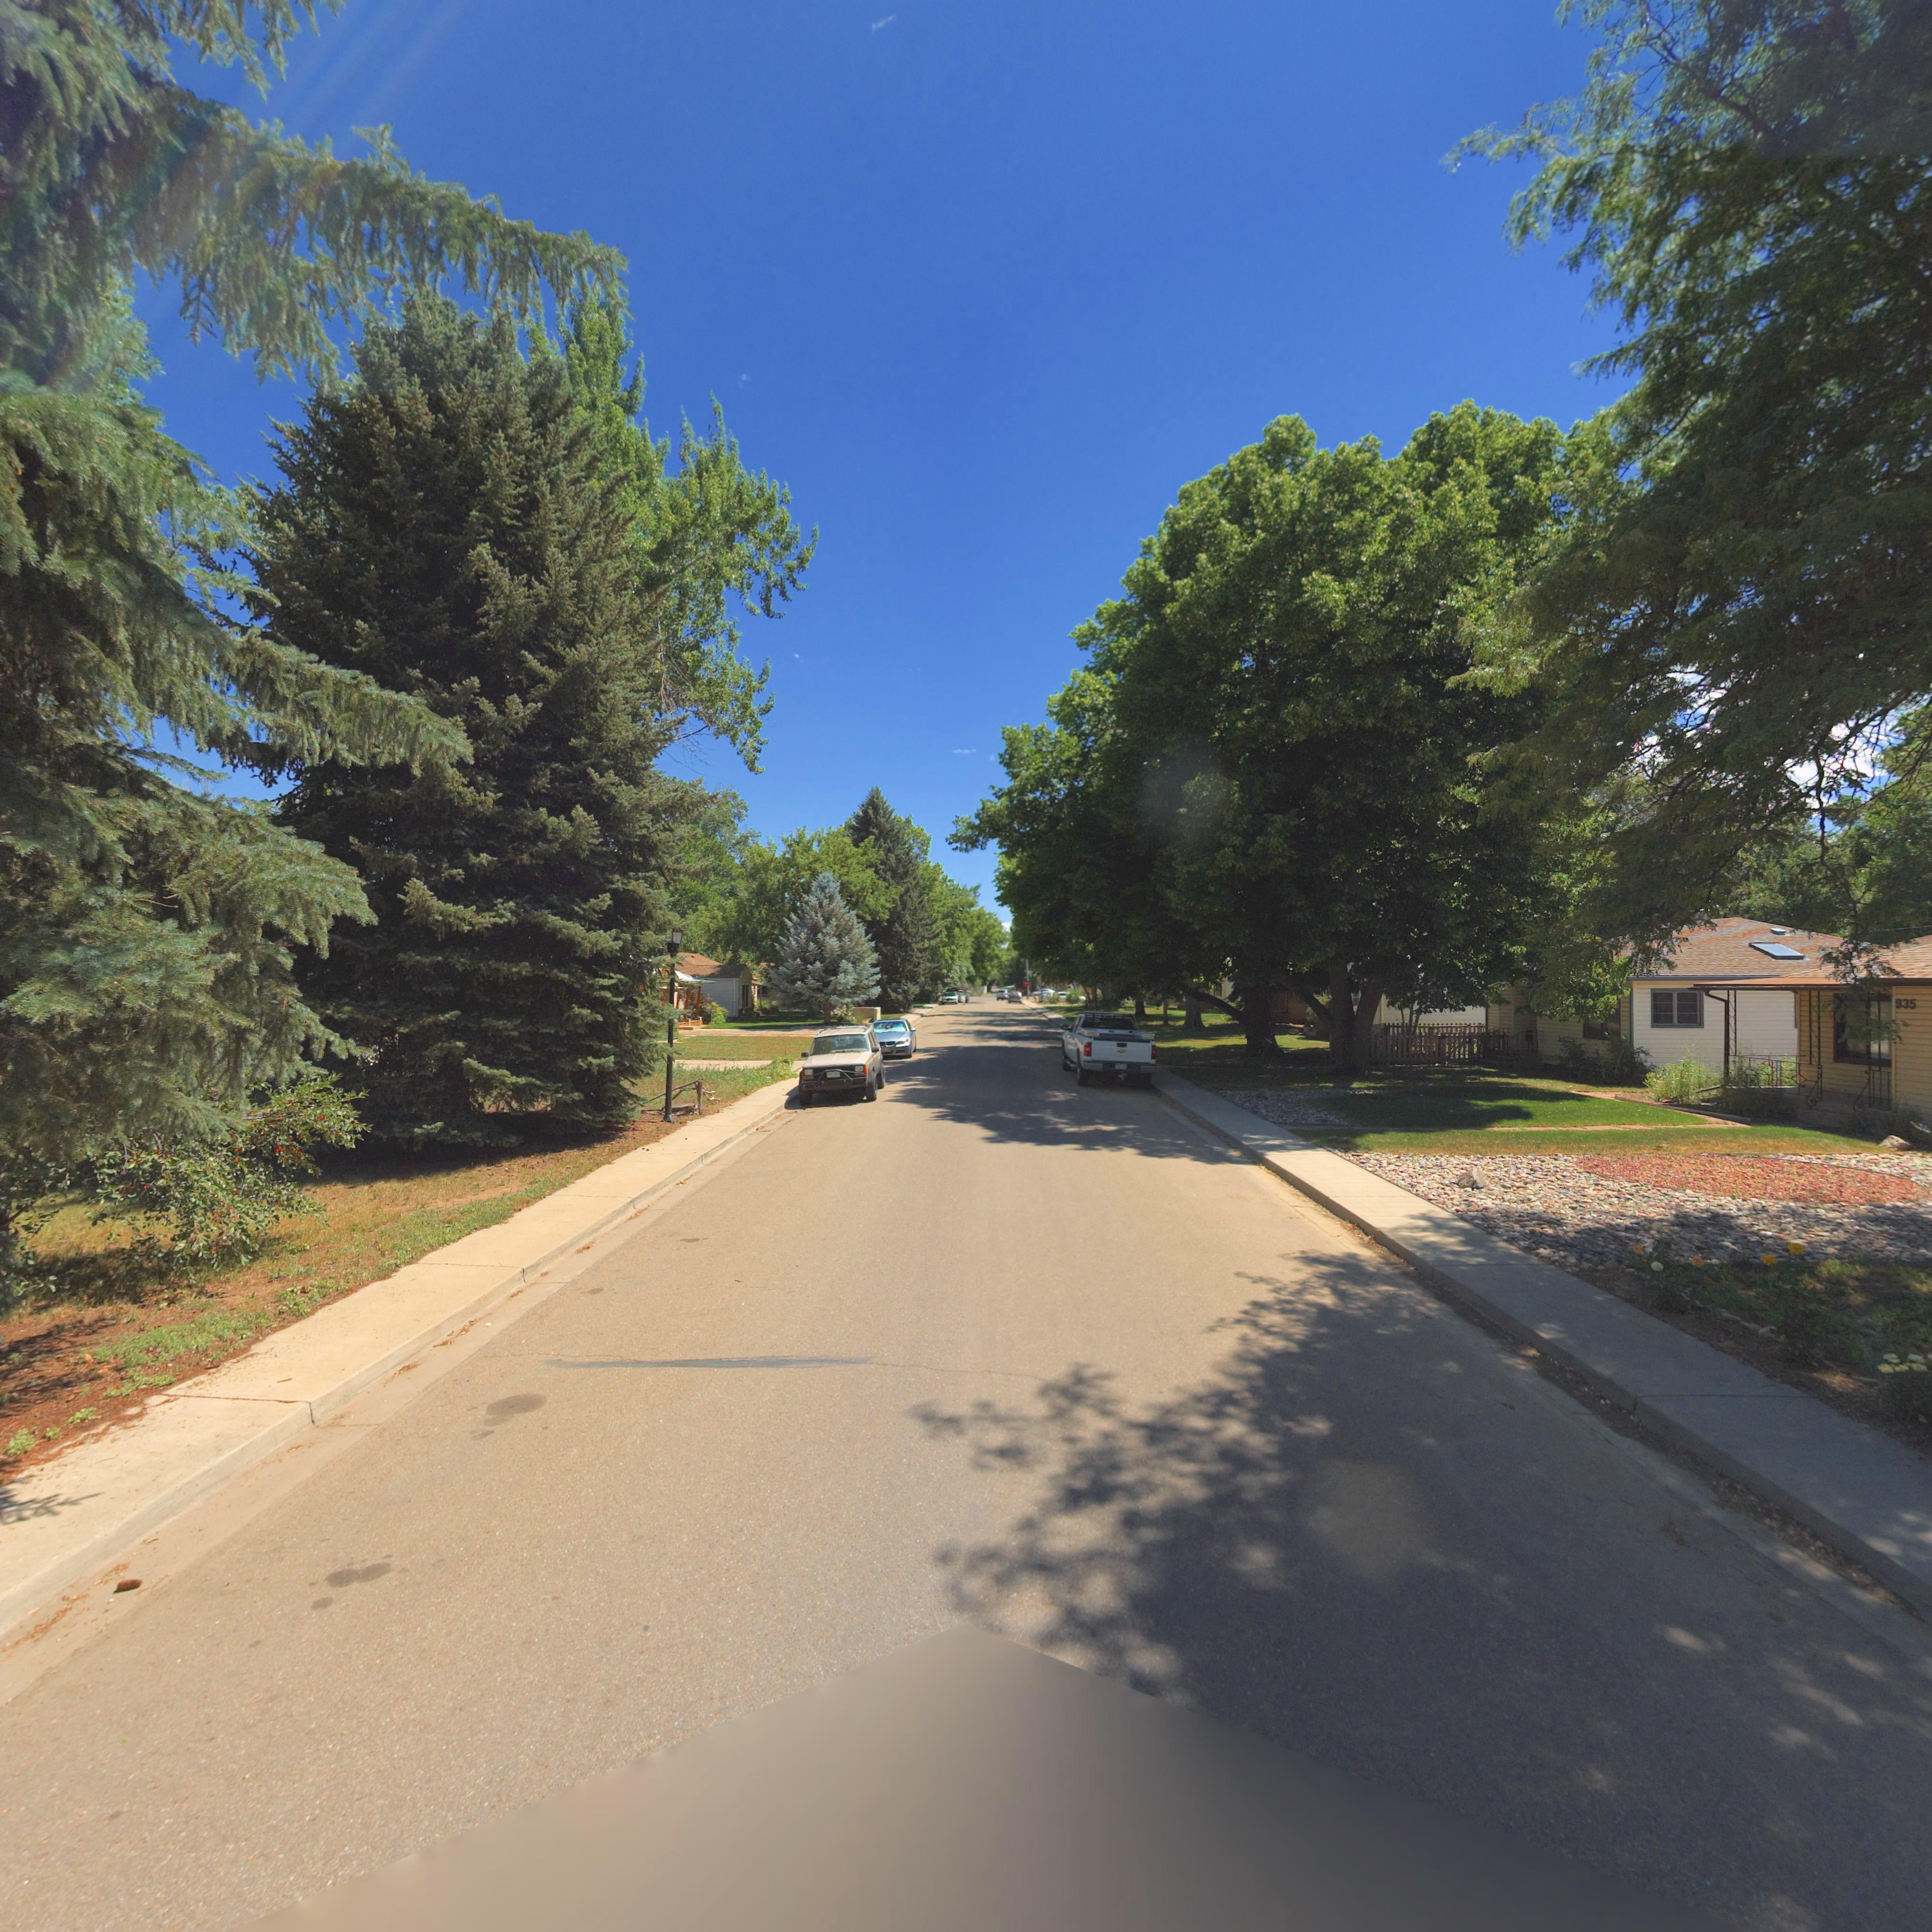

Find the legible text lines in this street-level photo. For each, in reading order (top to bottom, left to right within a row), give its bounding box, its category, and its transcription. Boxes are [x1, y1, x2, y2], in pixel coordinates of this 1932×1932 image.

[1895, 998, 1917, 1009] StreetNumber: 935